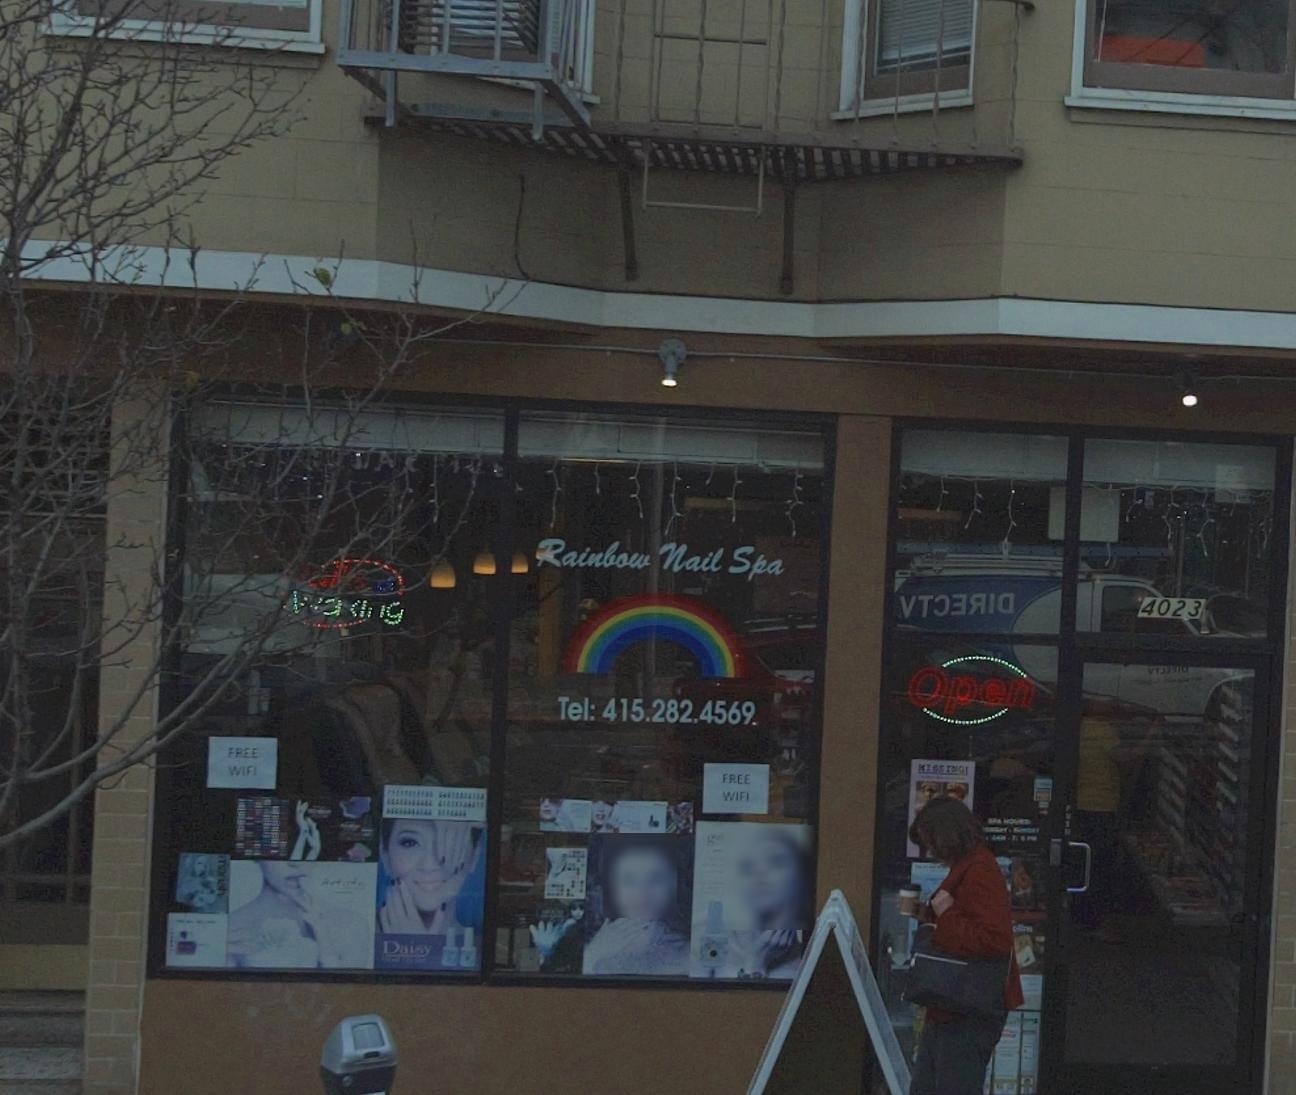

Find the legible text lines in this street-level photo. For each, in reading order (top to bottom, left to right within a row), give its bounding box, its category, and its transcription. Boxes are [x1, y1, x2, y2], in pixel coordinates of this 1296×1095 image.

[535, 536, 786, 584] BusinessName: Rainbow Nail Spa
[898, 591, 1019, 621] None: VT***I*
[1138, 597, 1206, 619] StreetNumber: 4023
[1144, 664, 1189, 677] None: VT*****
[906, 663, 1039, 716] None: Open
[555, 693, 761, 727] None: Tel: 415.282.4569
[226, 745, 261, 760] None: FREE
[227, 763, 260, 779] None: WIFI
[721, 771, 752, 786] None: FREE
[913, 759, 971, 777] None: MI*SING
[722, 789, 751, 804] None: WIFI
[1063, 803, 1073, 837] None: PUSH
[382, 939, 437, 959] None: Daisy